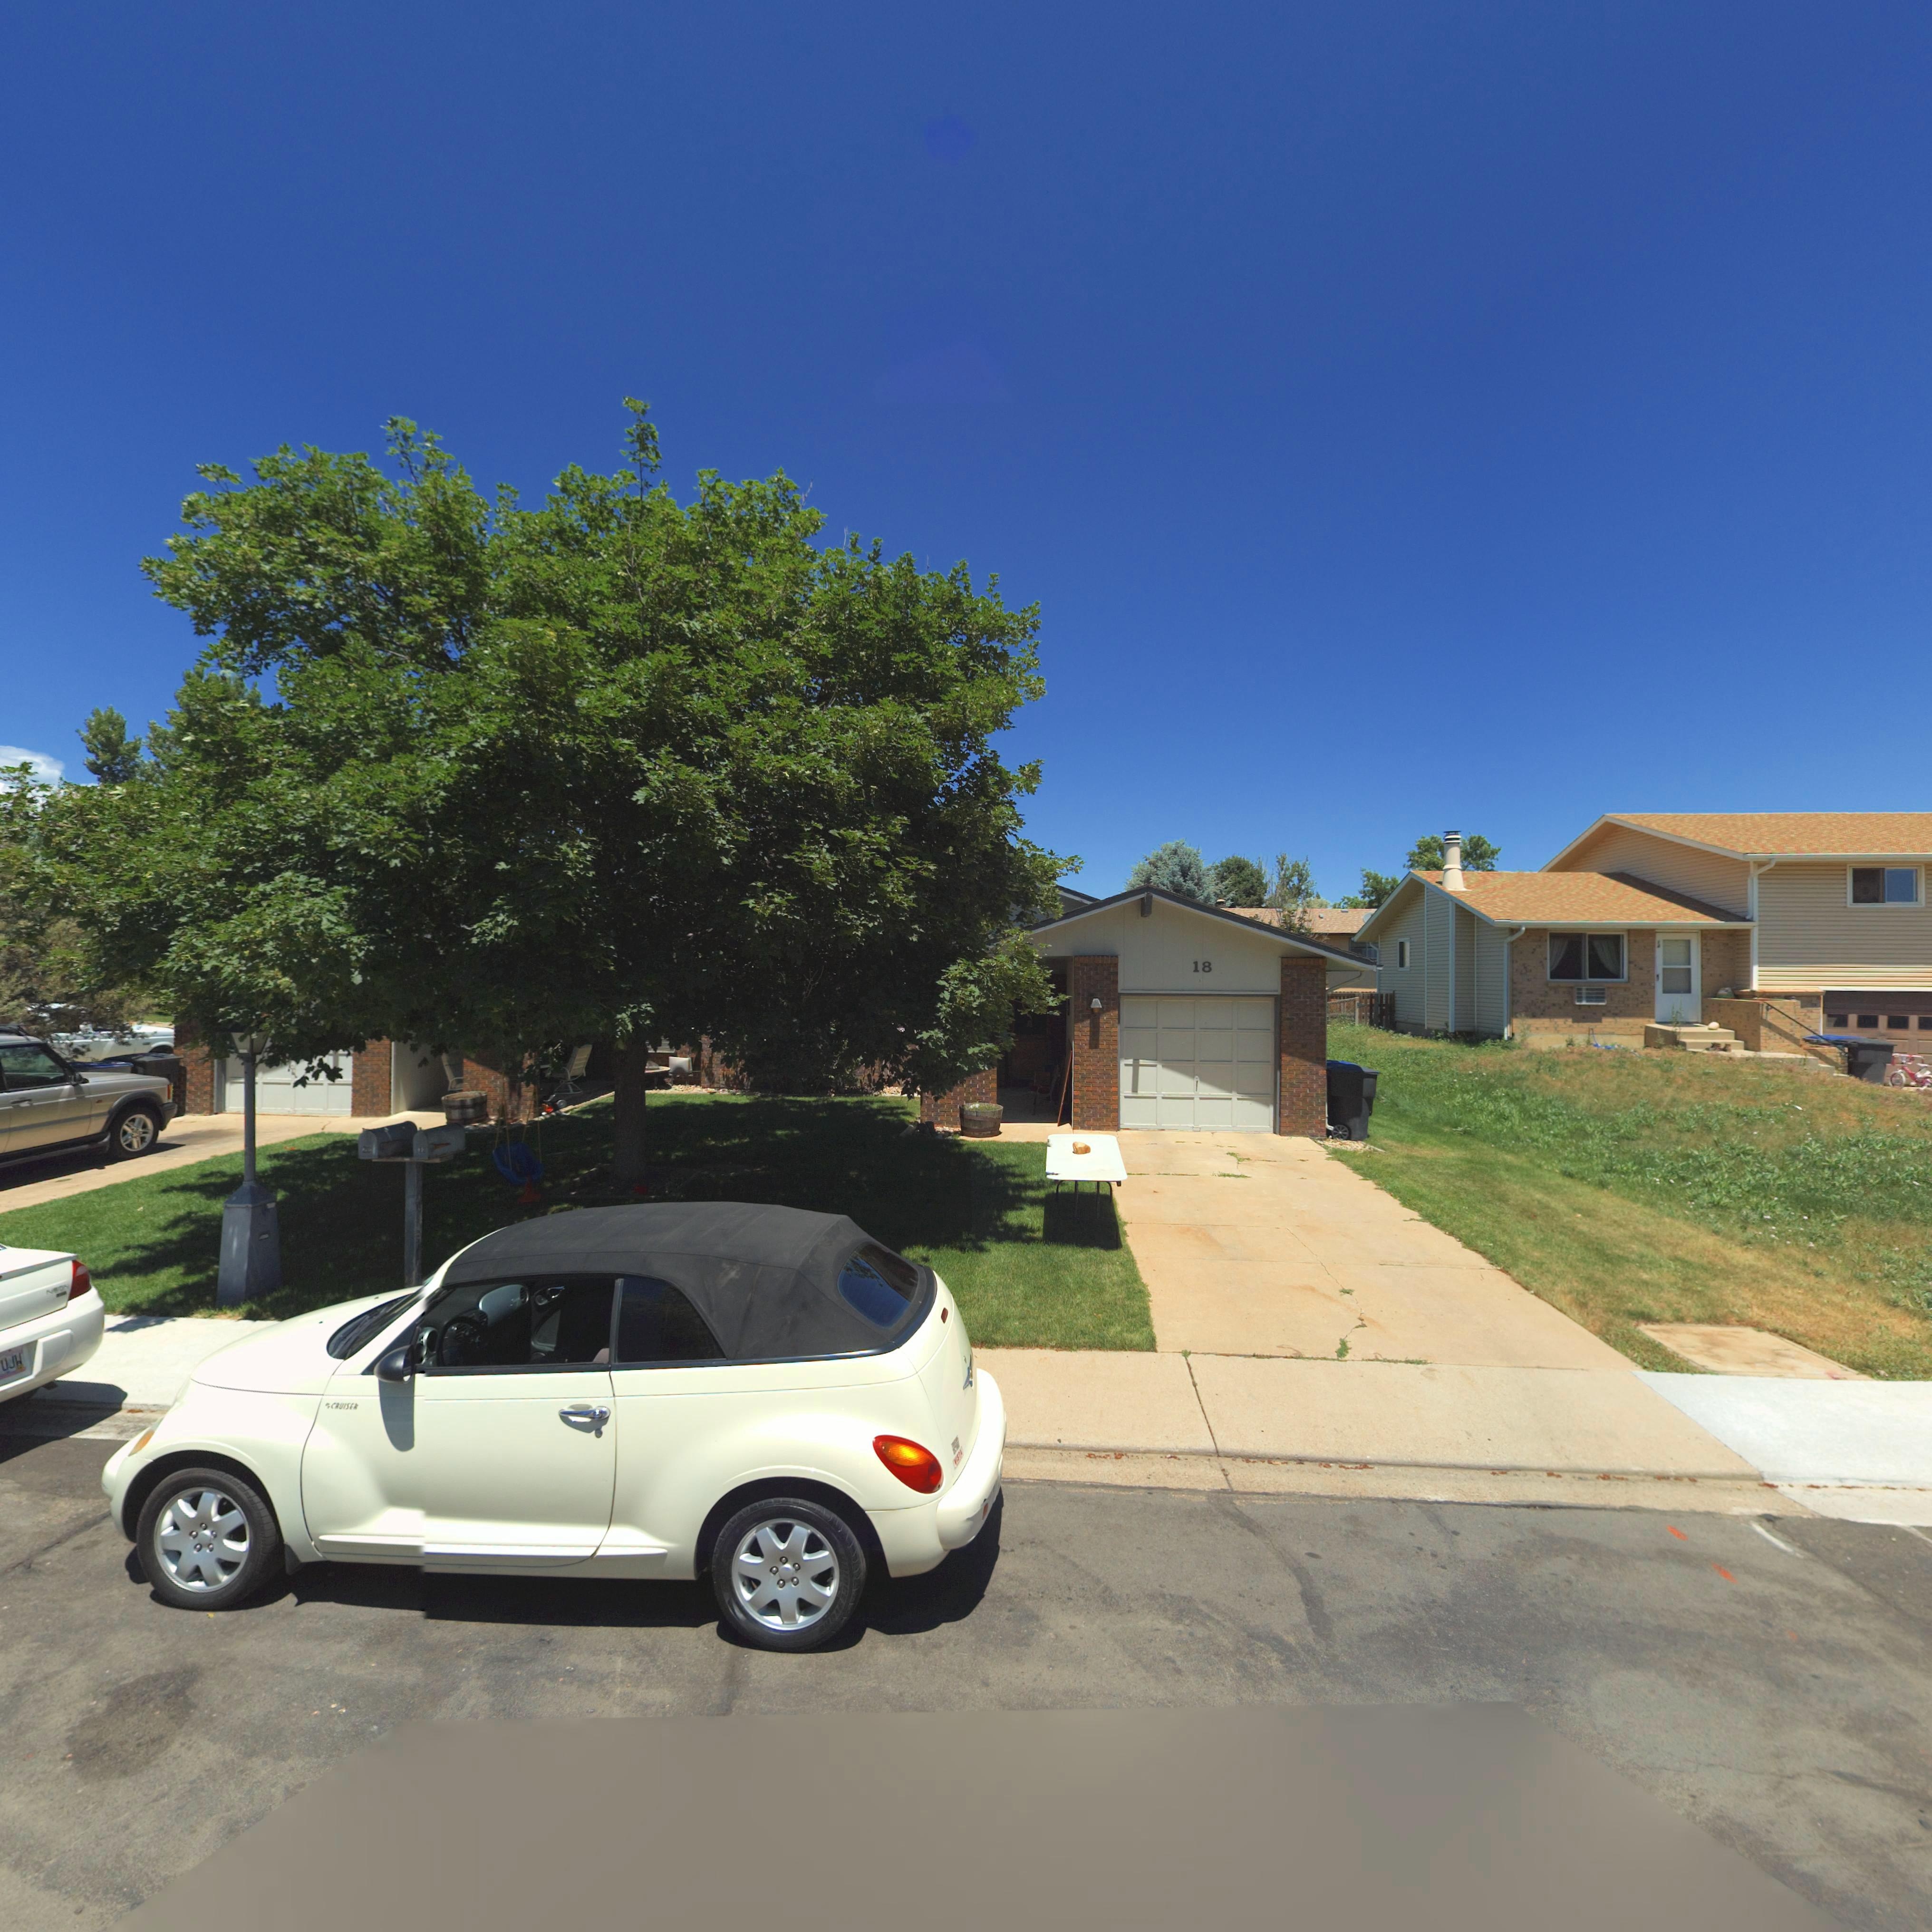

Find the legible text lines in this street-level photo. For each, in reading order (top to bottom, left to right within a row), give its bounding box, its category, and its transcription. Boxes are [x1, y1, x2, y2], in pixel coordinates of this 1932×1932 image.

[1657, 939, 1660, 948] StreetNumber: 14
[1192, 960, 1212, 973] StreetNumber: 18